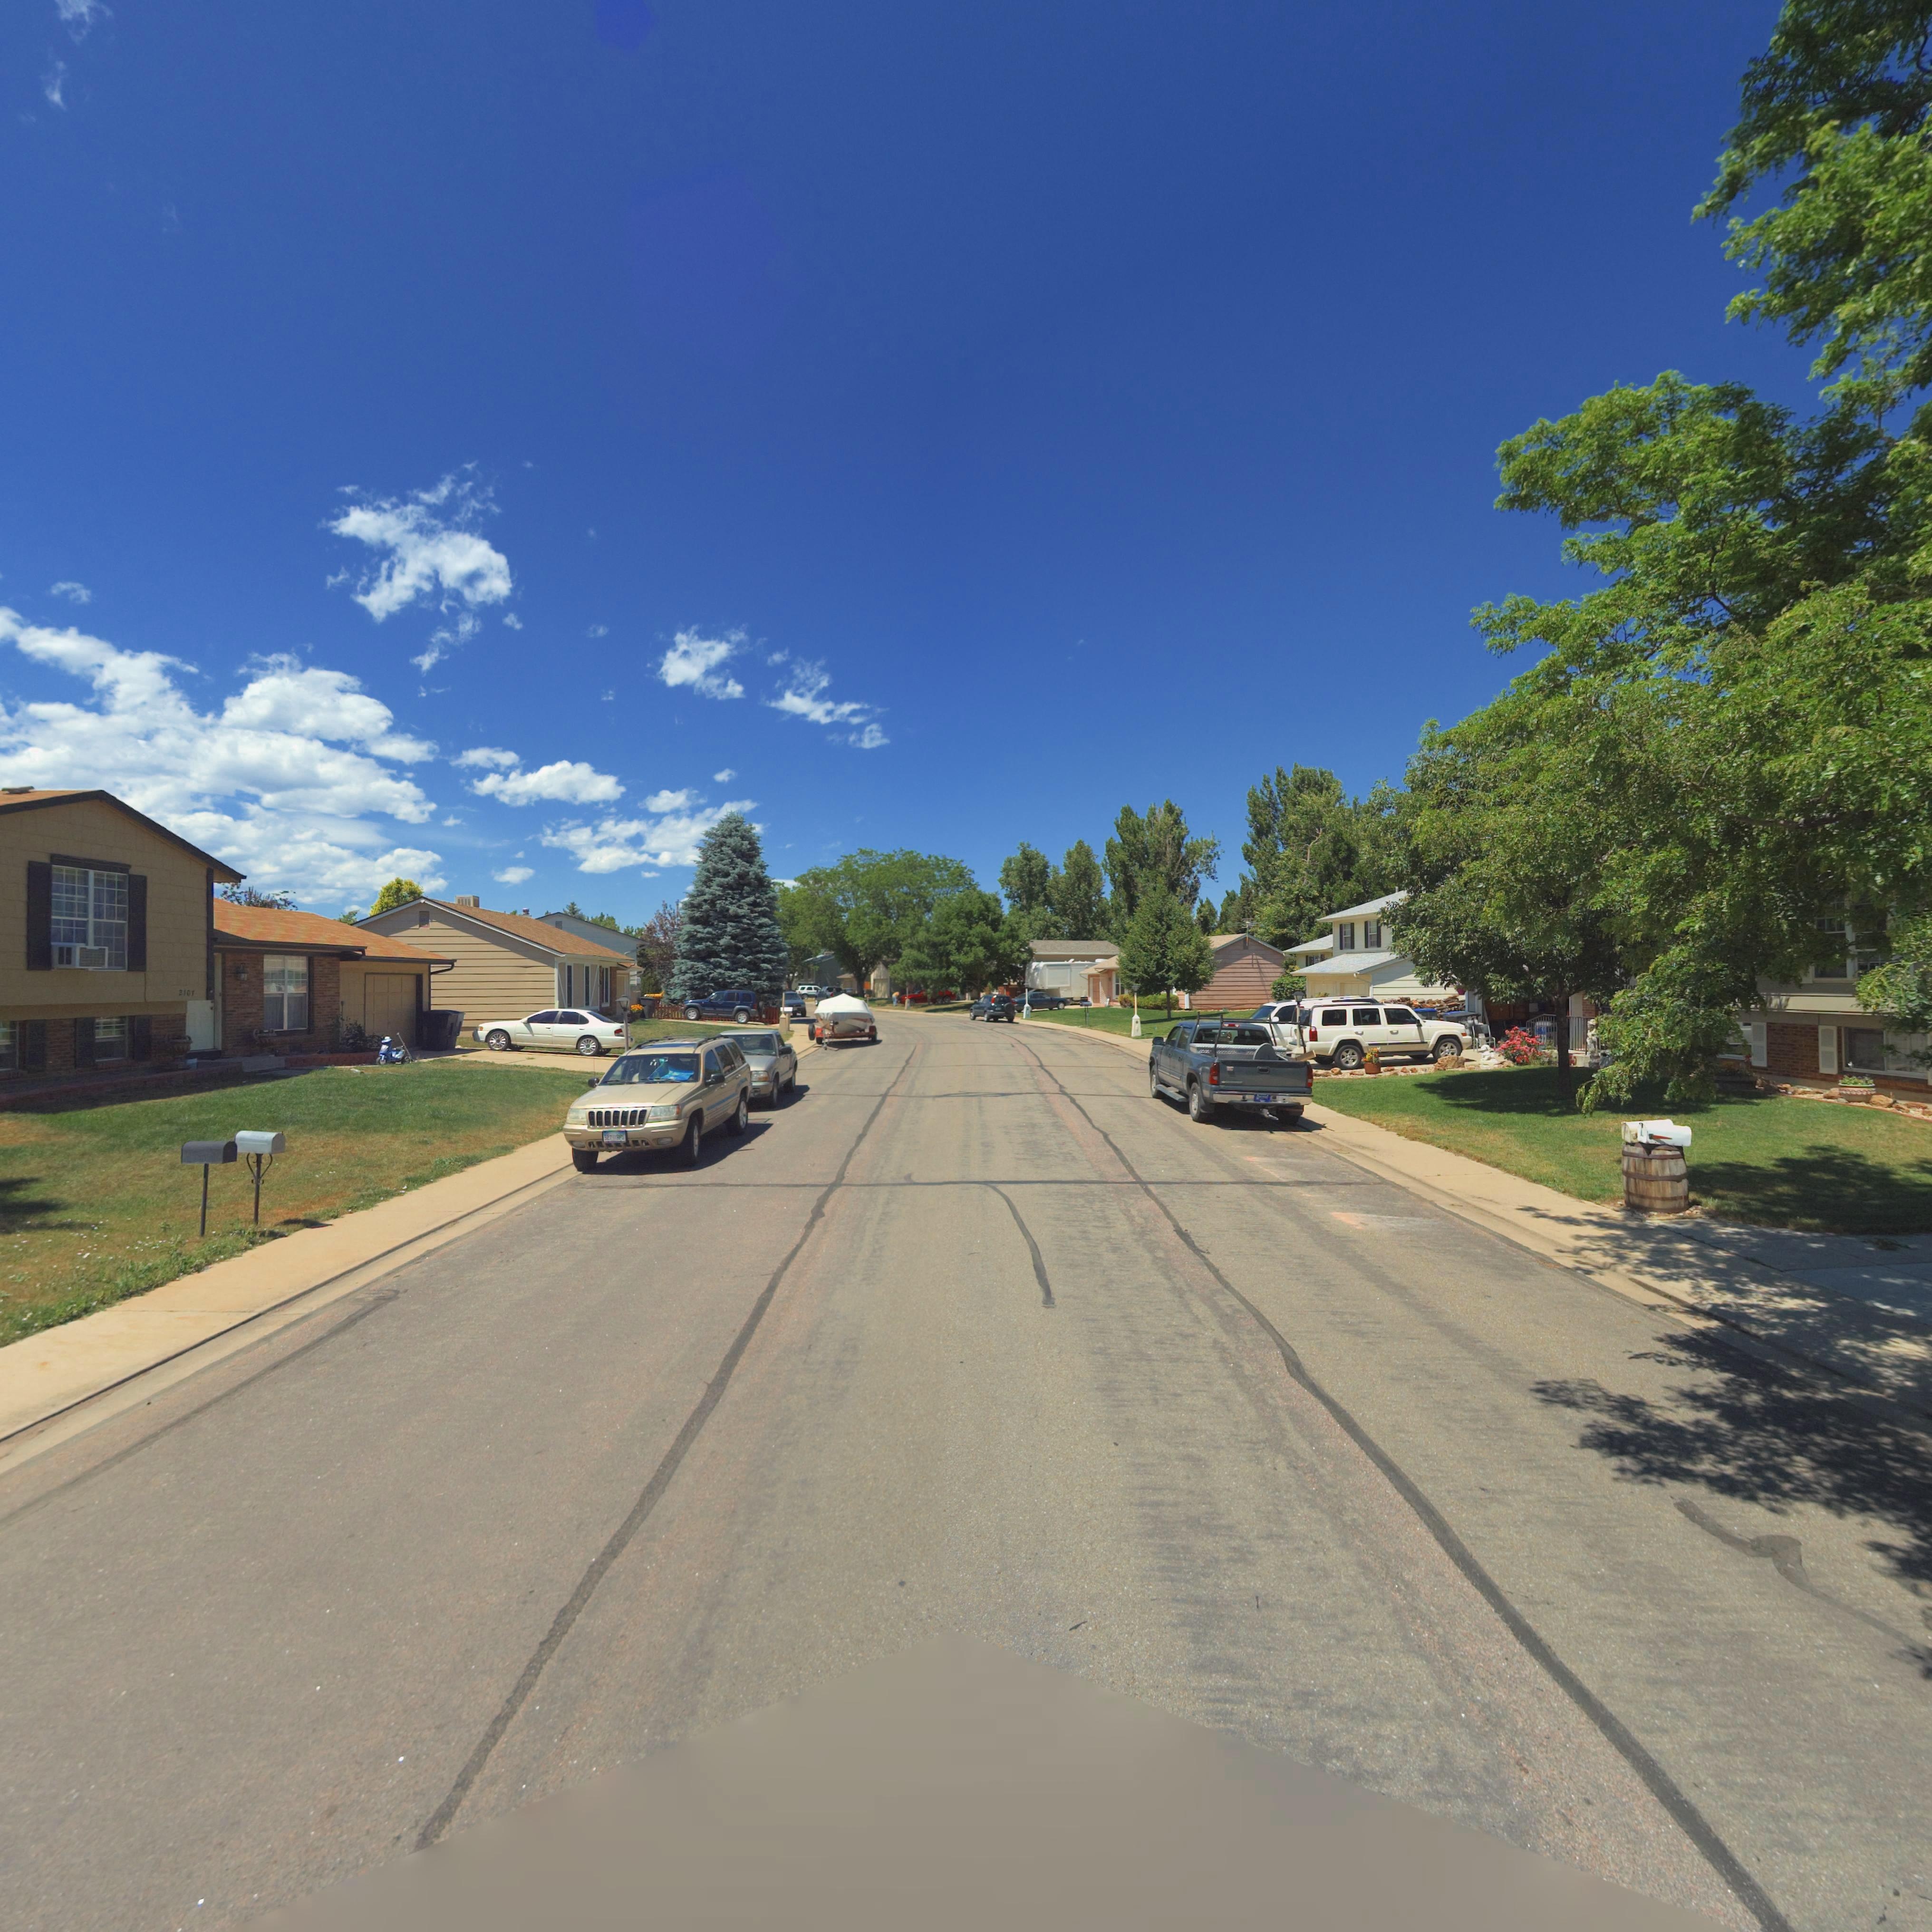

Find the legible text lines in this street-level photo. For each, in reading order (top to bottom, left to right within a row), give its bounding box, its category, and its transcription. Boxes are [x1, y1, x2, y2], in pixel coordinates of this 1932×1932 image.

[178, 989, 195, 996] StreetNumber: 2107